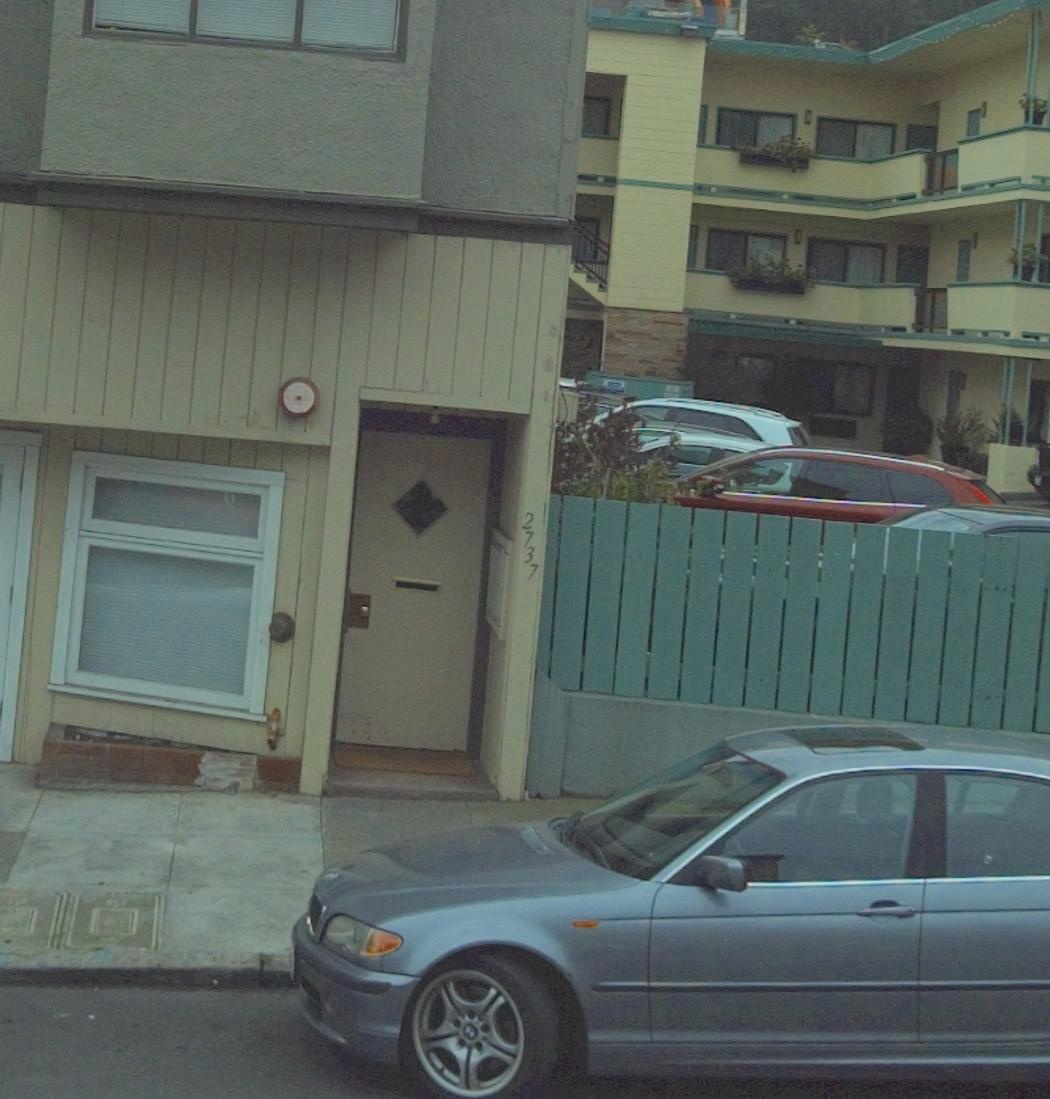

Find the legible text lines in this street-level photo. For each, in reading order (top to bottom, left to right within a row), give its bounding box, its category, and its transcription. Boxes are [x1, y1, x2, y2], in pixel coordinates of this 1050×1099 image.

[522, 511, 539, 583] StreetNumber: 2737